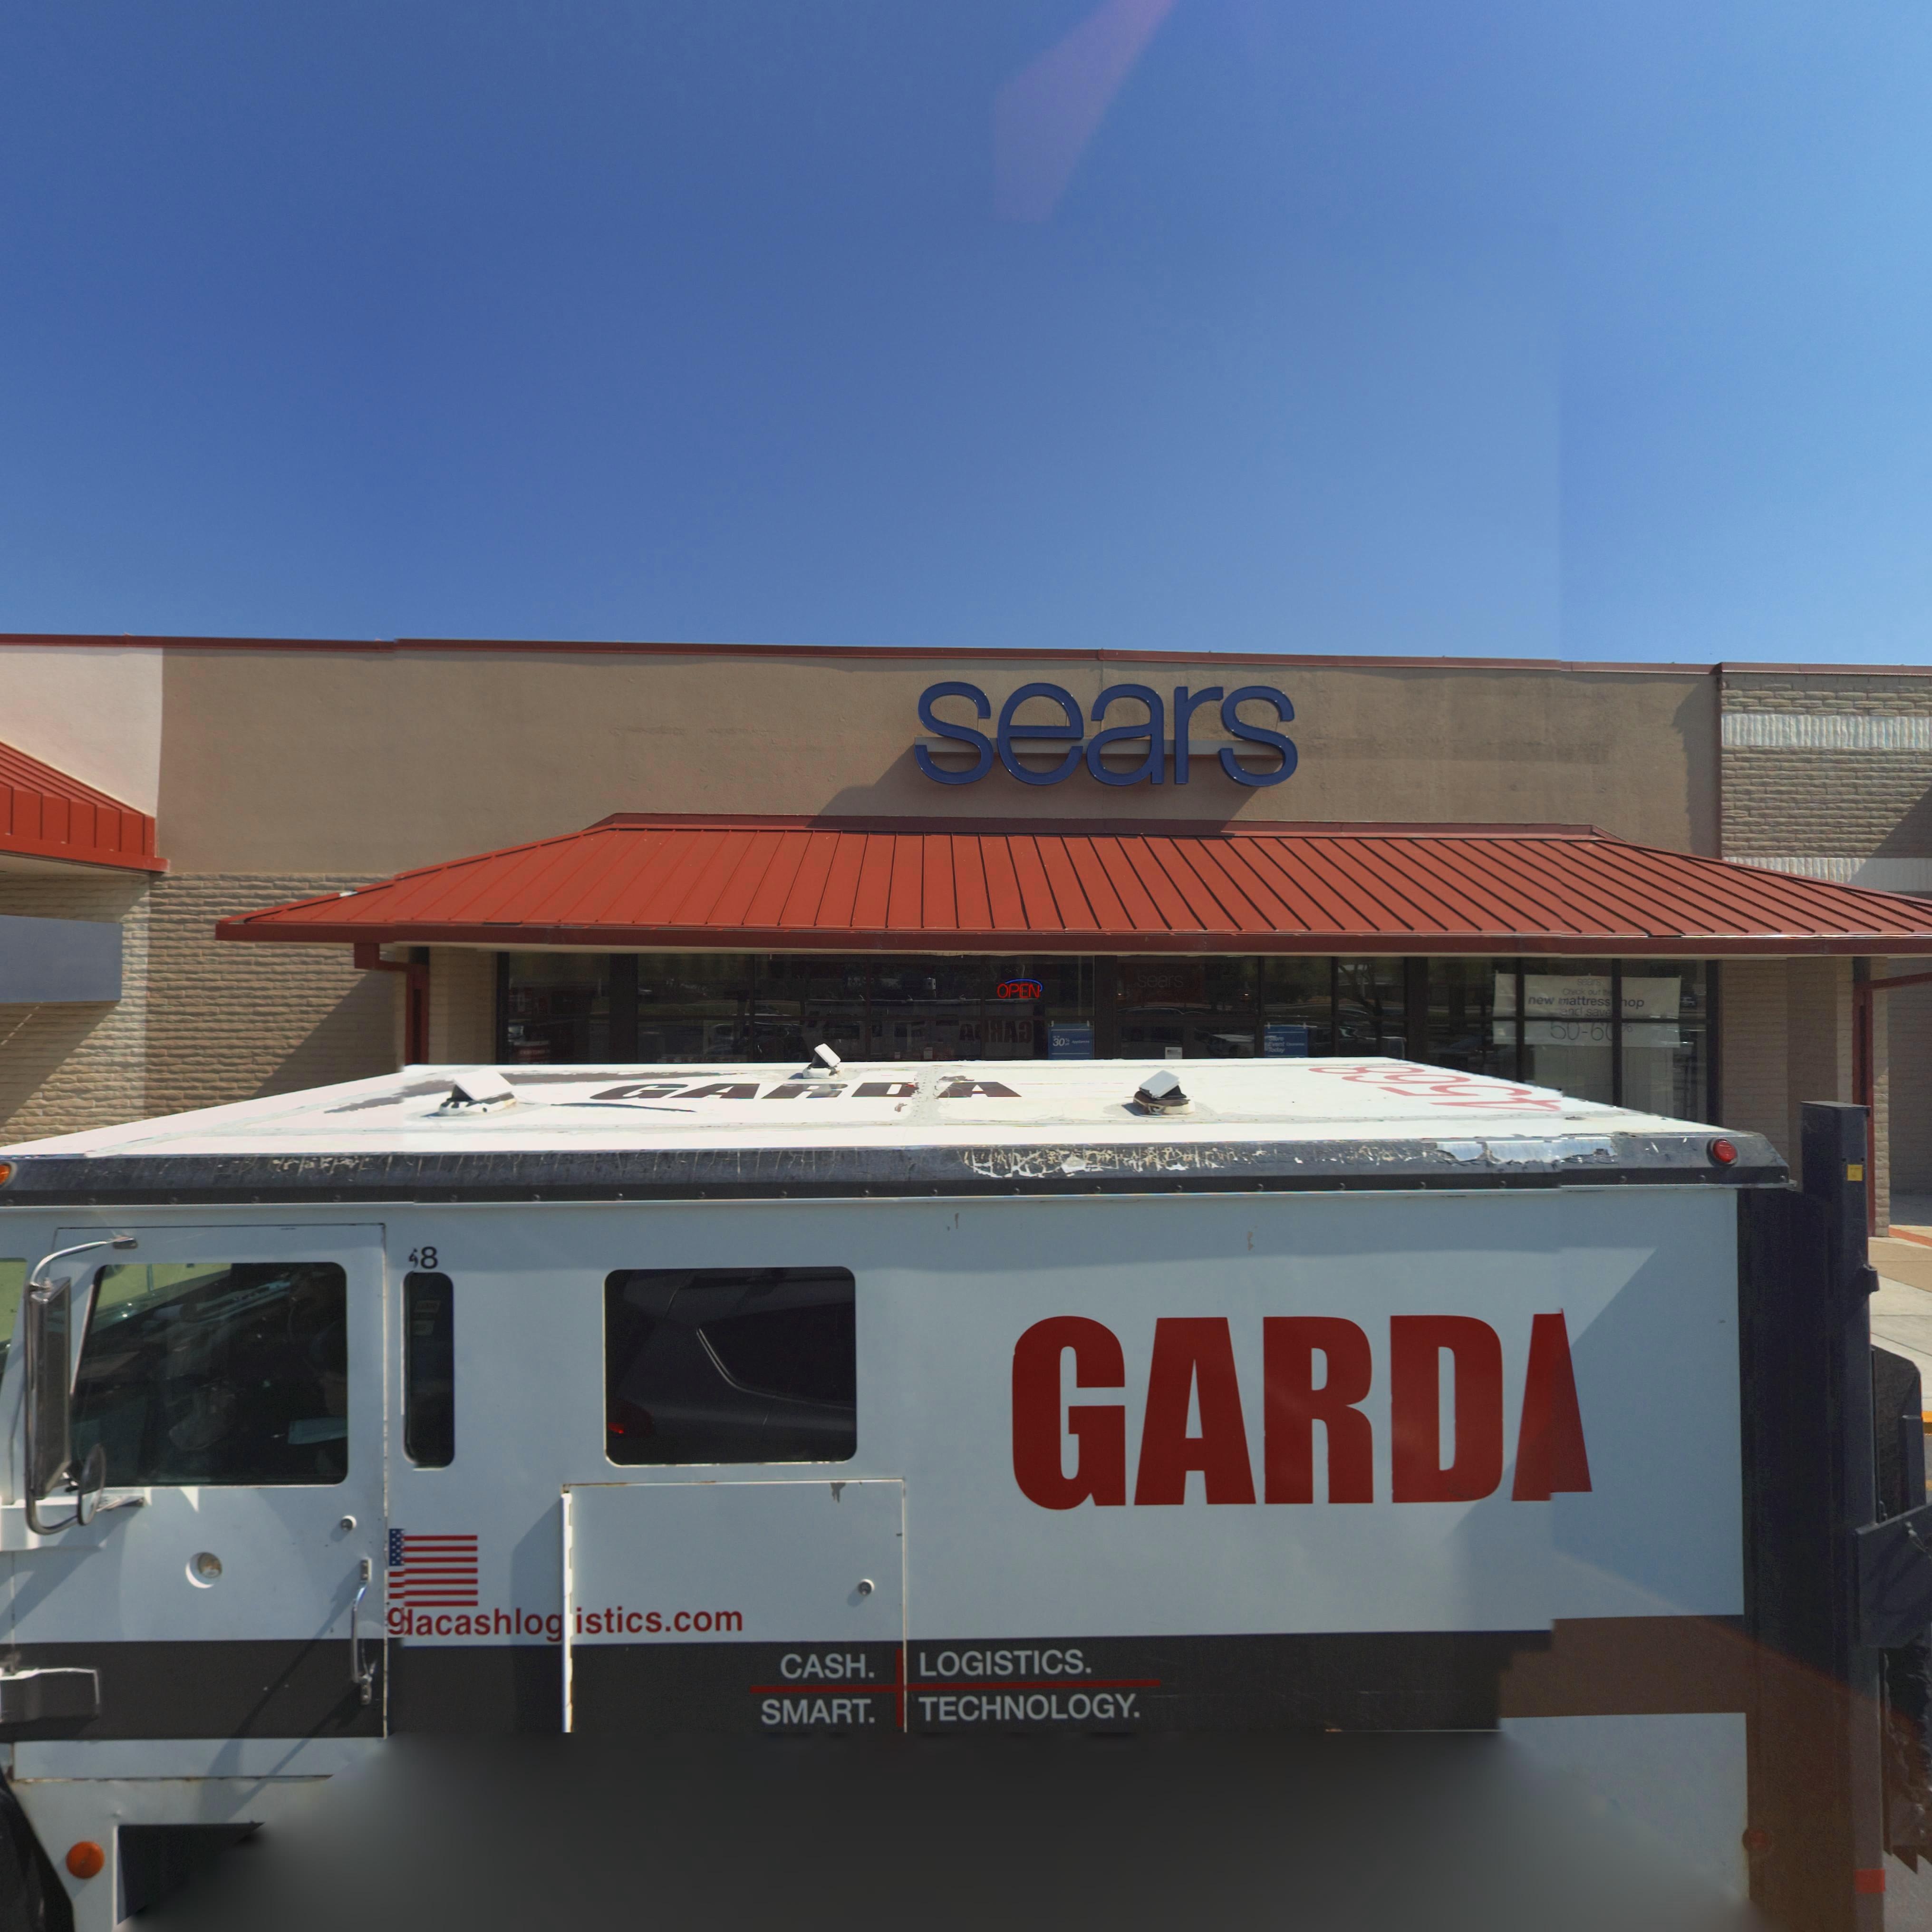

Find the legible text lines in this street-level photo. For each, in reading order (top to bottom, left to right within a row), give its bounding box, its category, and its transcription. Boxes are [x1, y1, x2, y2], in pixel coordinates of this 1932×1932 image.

[912, 679, 1301, 790] BusinessName: sears
[1136, 974, 1184, 988] BusinessName: sears